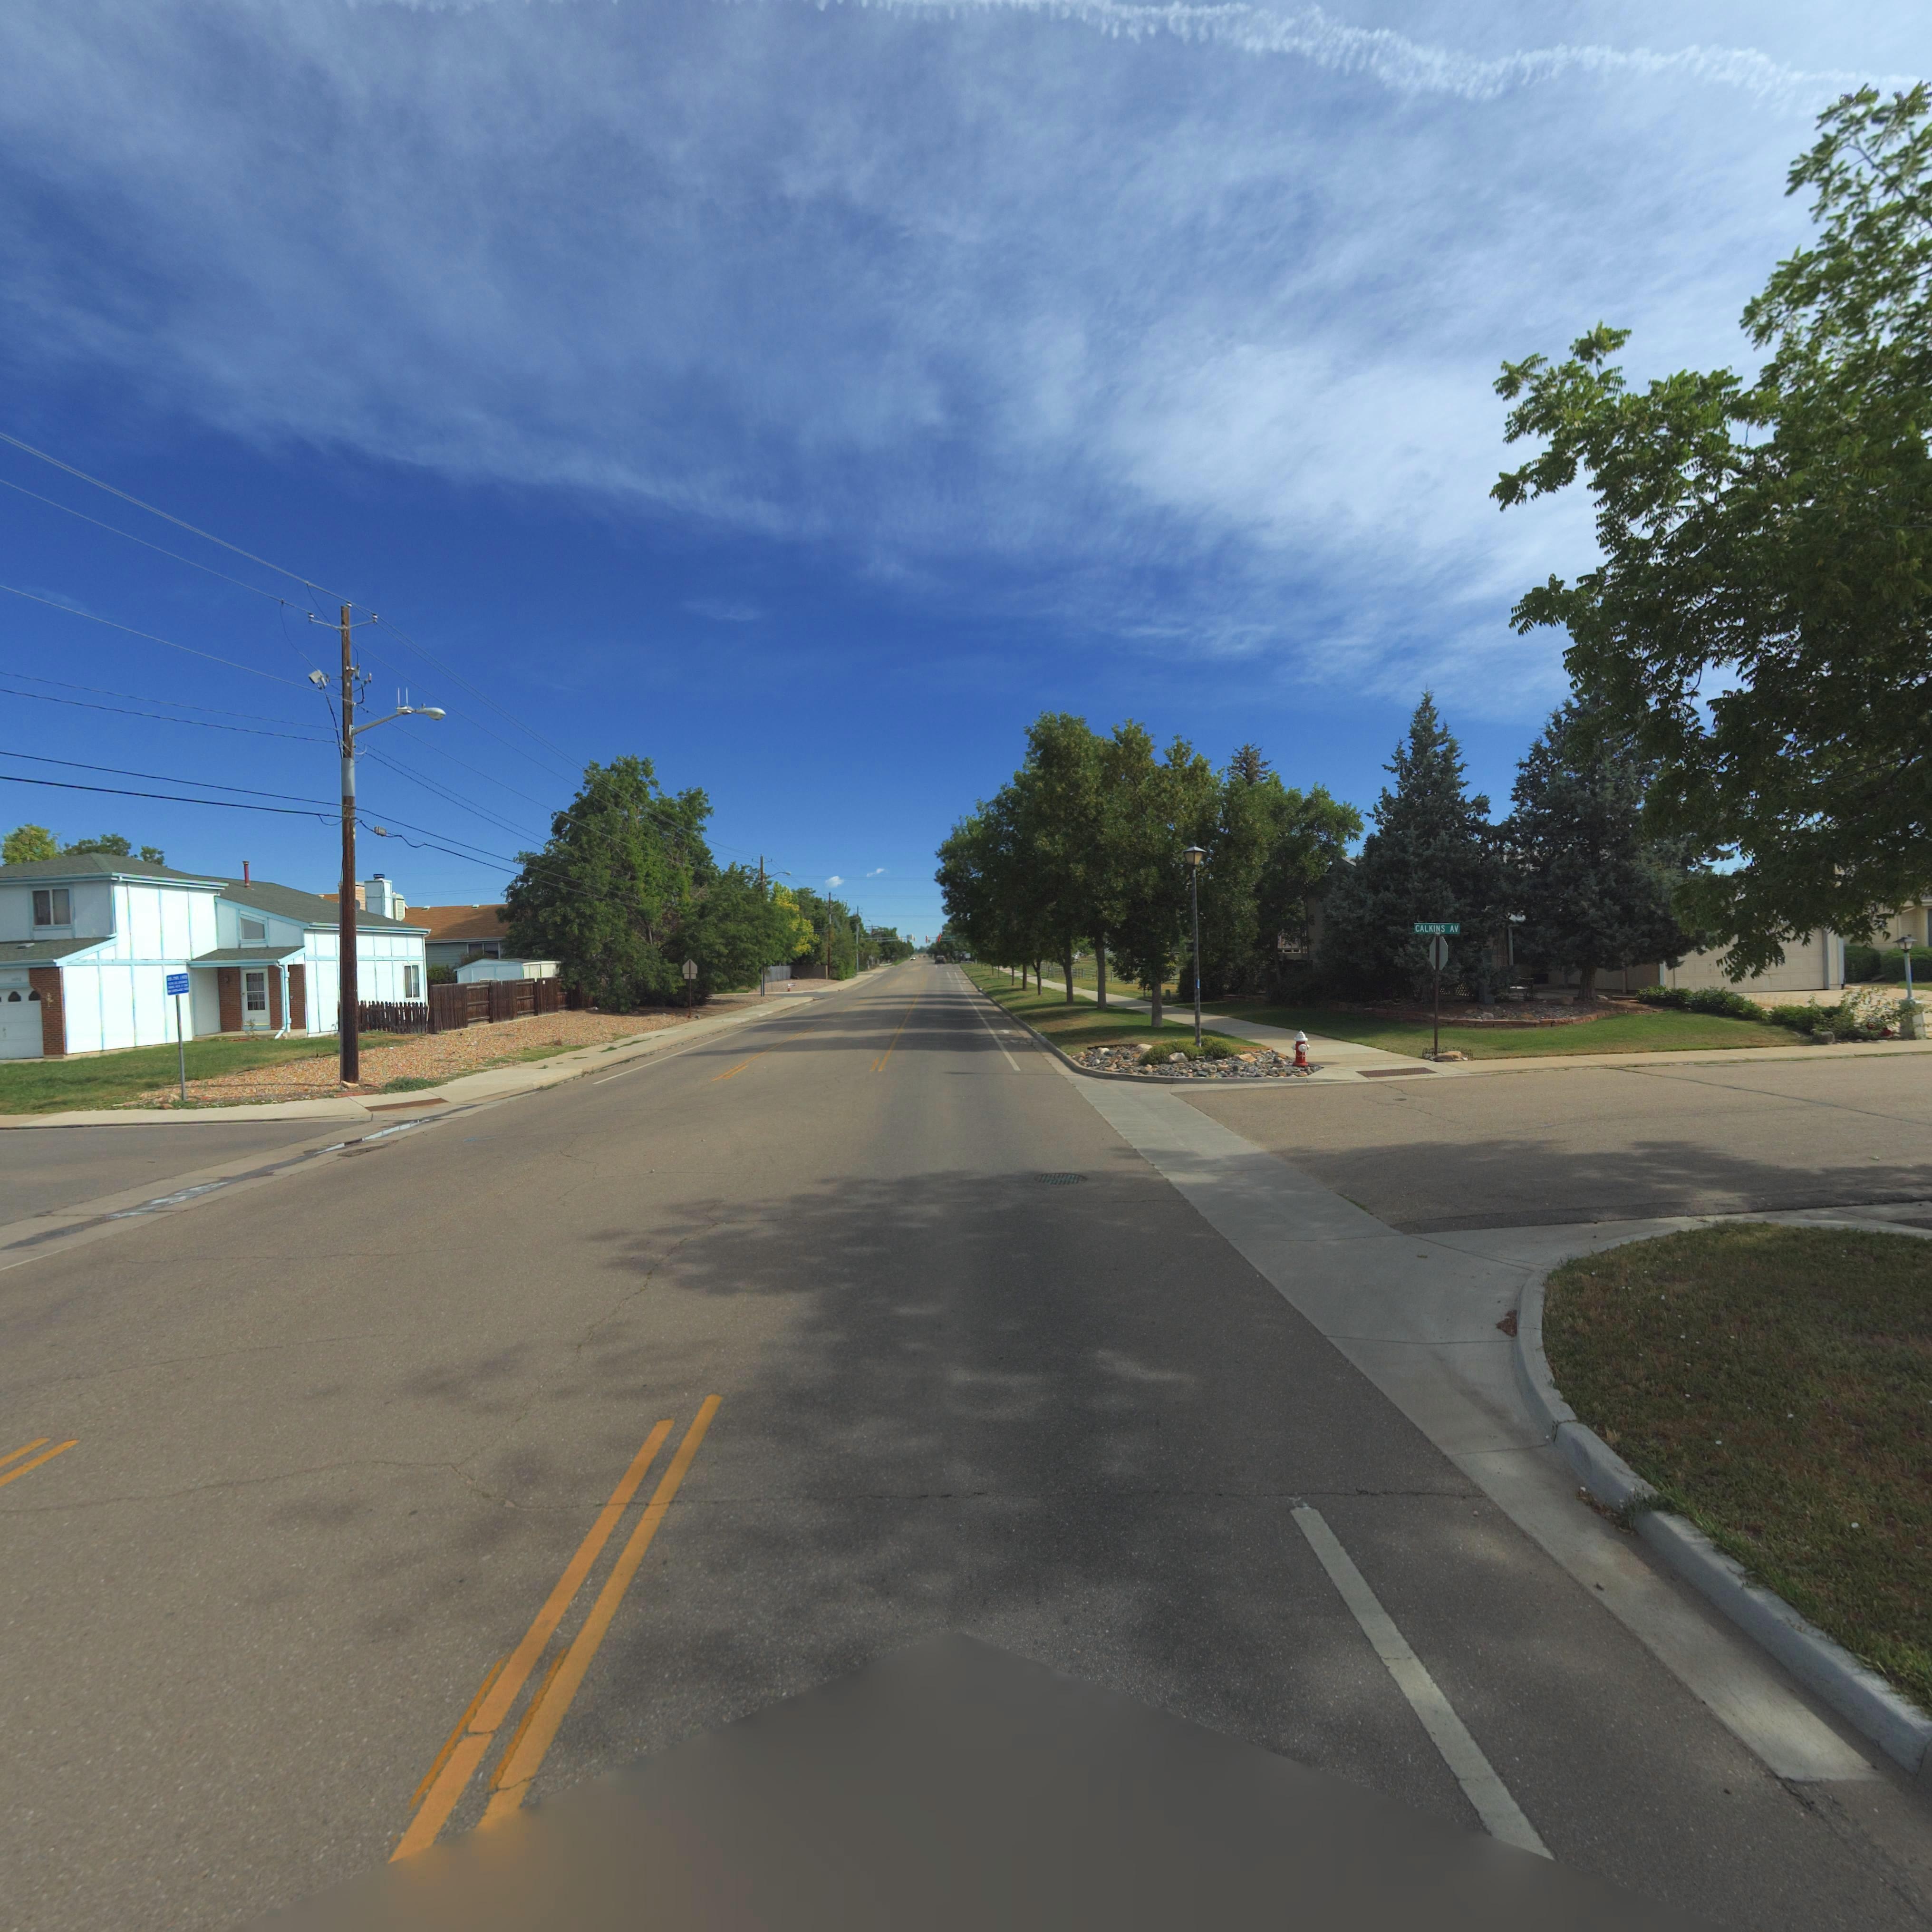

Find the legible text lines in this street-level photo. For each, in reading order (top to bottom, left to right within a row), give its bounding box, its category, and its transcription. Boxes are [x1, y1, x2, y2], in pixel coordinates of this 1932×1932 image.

[1415, 924, 1459, 932] StreetName: CALKINS AV
[10, 976, 21, 981] StreetNumber: 1***